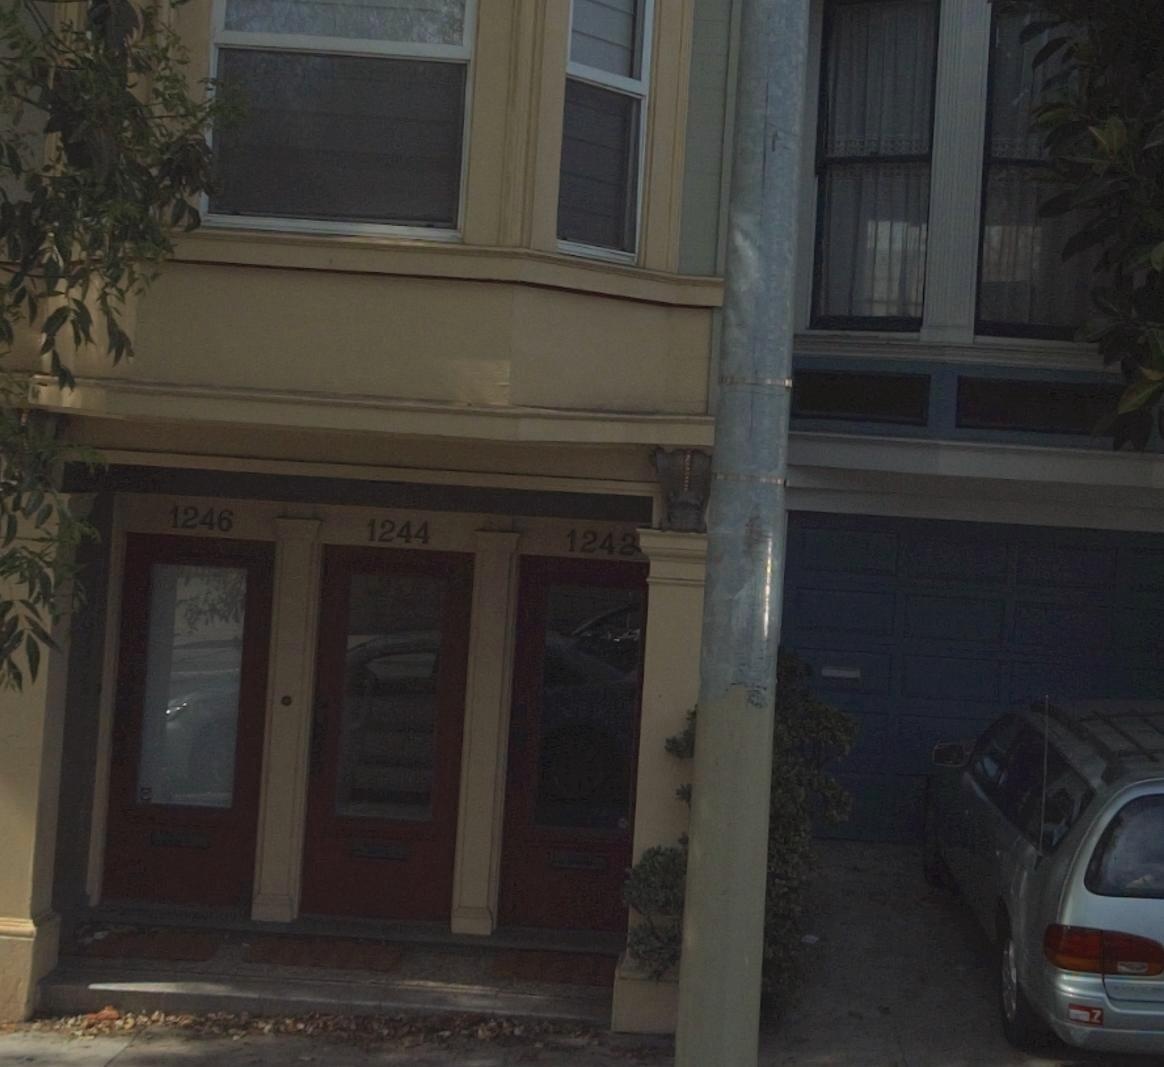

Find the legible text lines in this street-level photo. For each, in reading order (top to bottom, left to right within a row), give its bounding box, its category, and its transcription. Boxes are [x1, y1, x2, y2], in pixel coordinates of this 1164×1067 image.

[168, 504, 235, 534] StreetNumber: 1246
[366, 517, 431, 545] StreetNumber: 1244
[564, 527, 637, 558] StreetNumber: 1242
[1090, 1008, 1102, 1024] None: Z